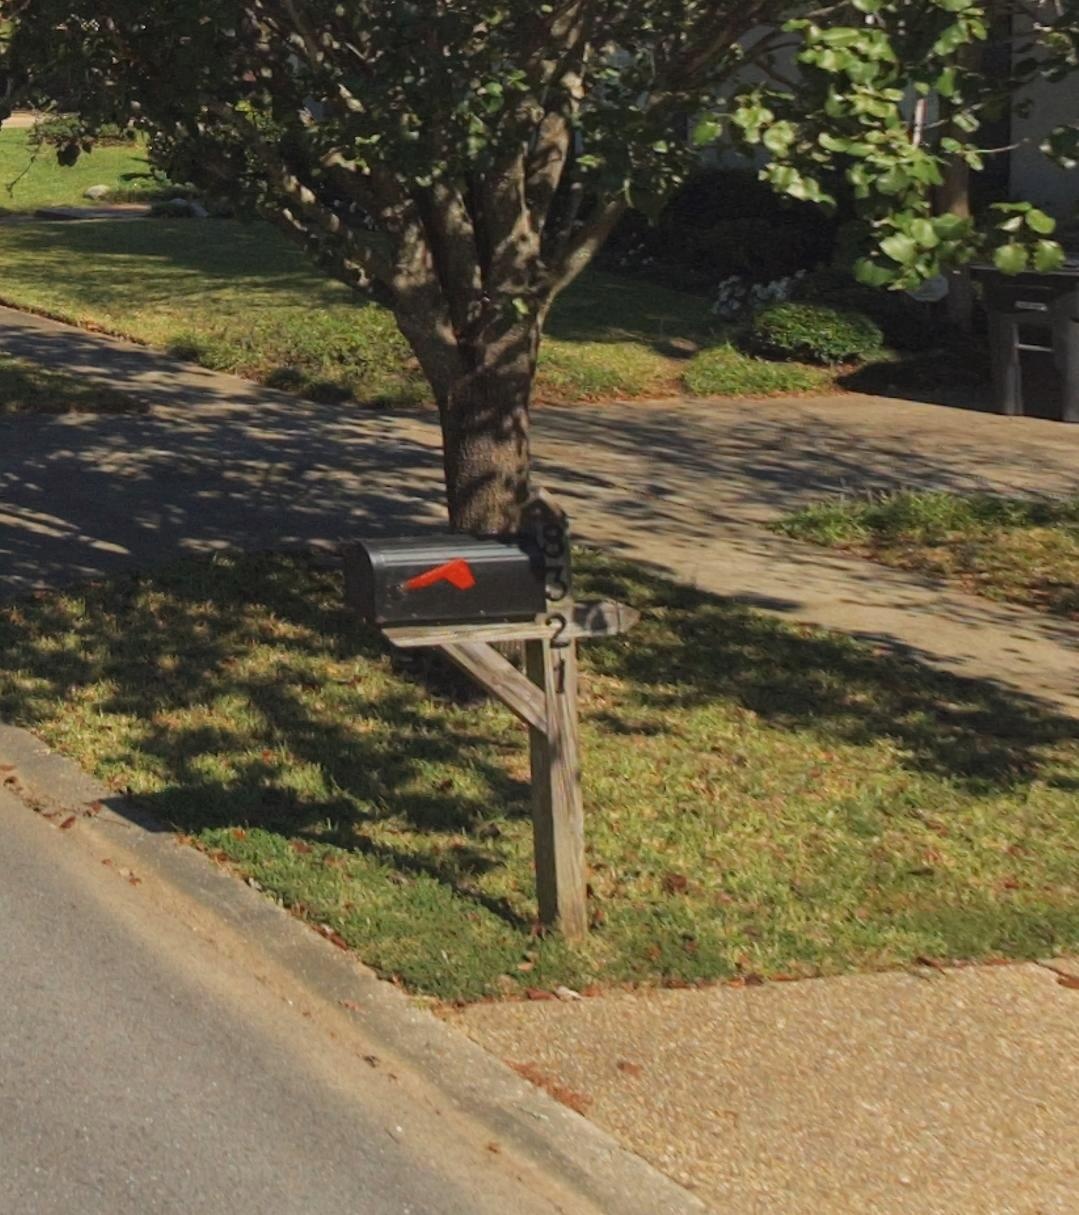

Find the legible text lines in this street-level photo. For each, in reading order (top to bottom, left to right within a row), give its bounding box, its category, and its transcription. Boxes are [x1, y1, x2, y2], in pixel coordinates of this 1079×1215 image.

[539, 521, 573, 695] StreetNumber: 8321